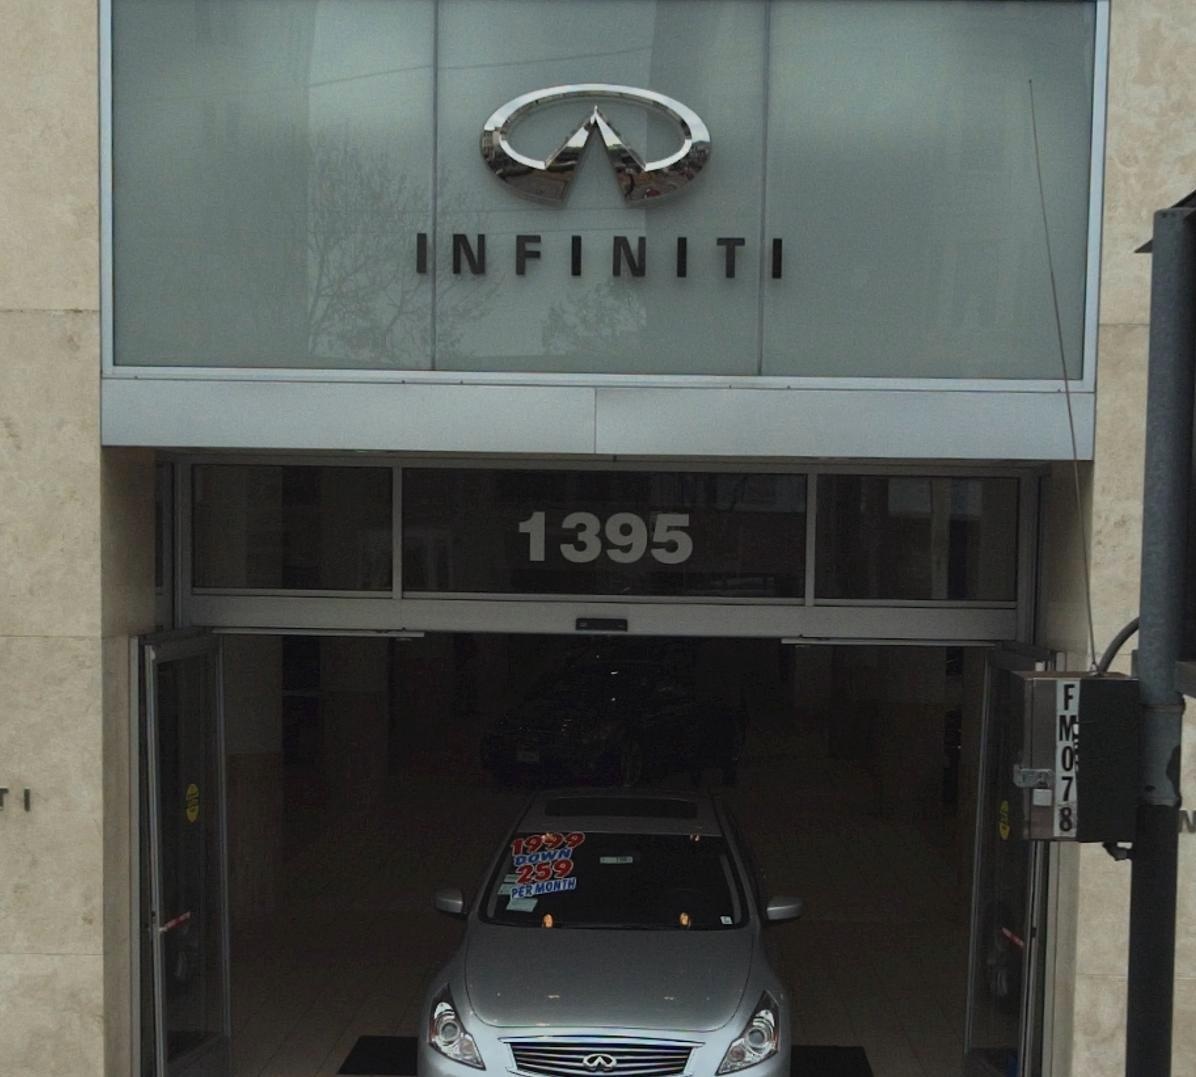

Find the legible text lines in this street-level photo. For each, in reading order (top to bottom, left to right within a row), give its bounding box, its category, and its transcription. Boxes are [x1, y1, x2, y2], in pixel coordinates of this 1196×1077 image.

[412, 229, 785, 281] BusinessName: INFINITI
[515, 508, 694, 565] StreetNumber: 1395
[1054, 680, 1079, 833] None: FM078
[19, 786, 33, 815] None: I
[513, 847, 573, 868] None: DOWN
[515, 856, 575, 885] None: 259
[508, 830, 587, 858] None: 1999
[509, 876, 577, 901] None: PER MONTH